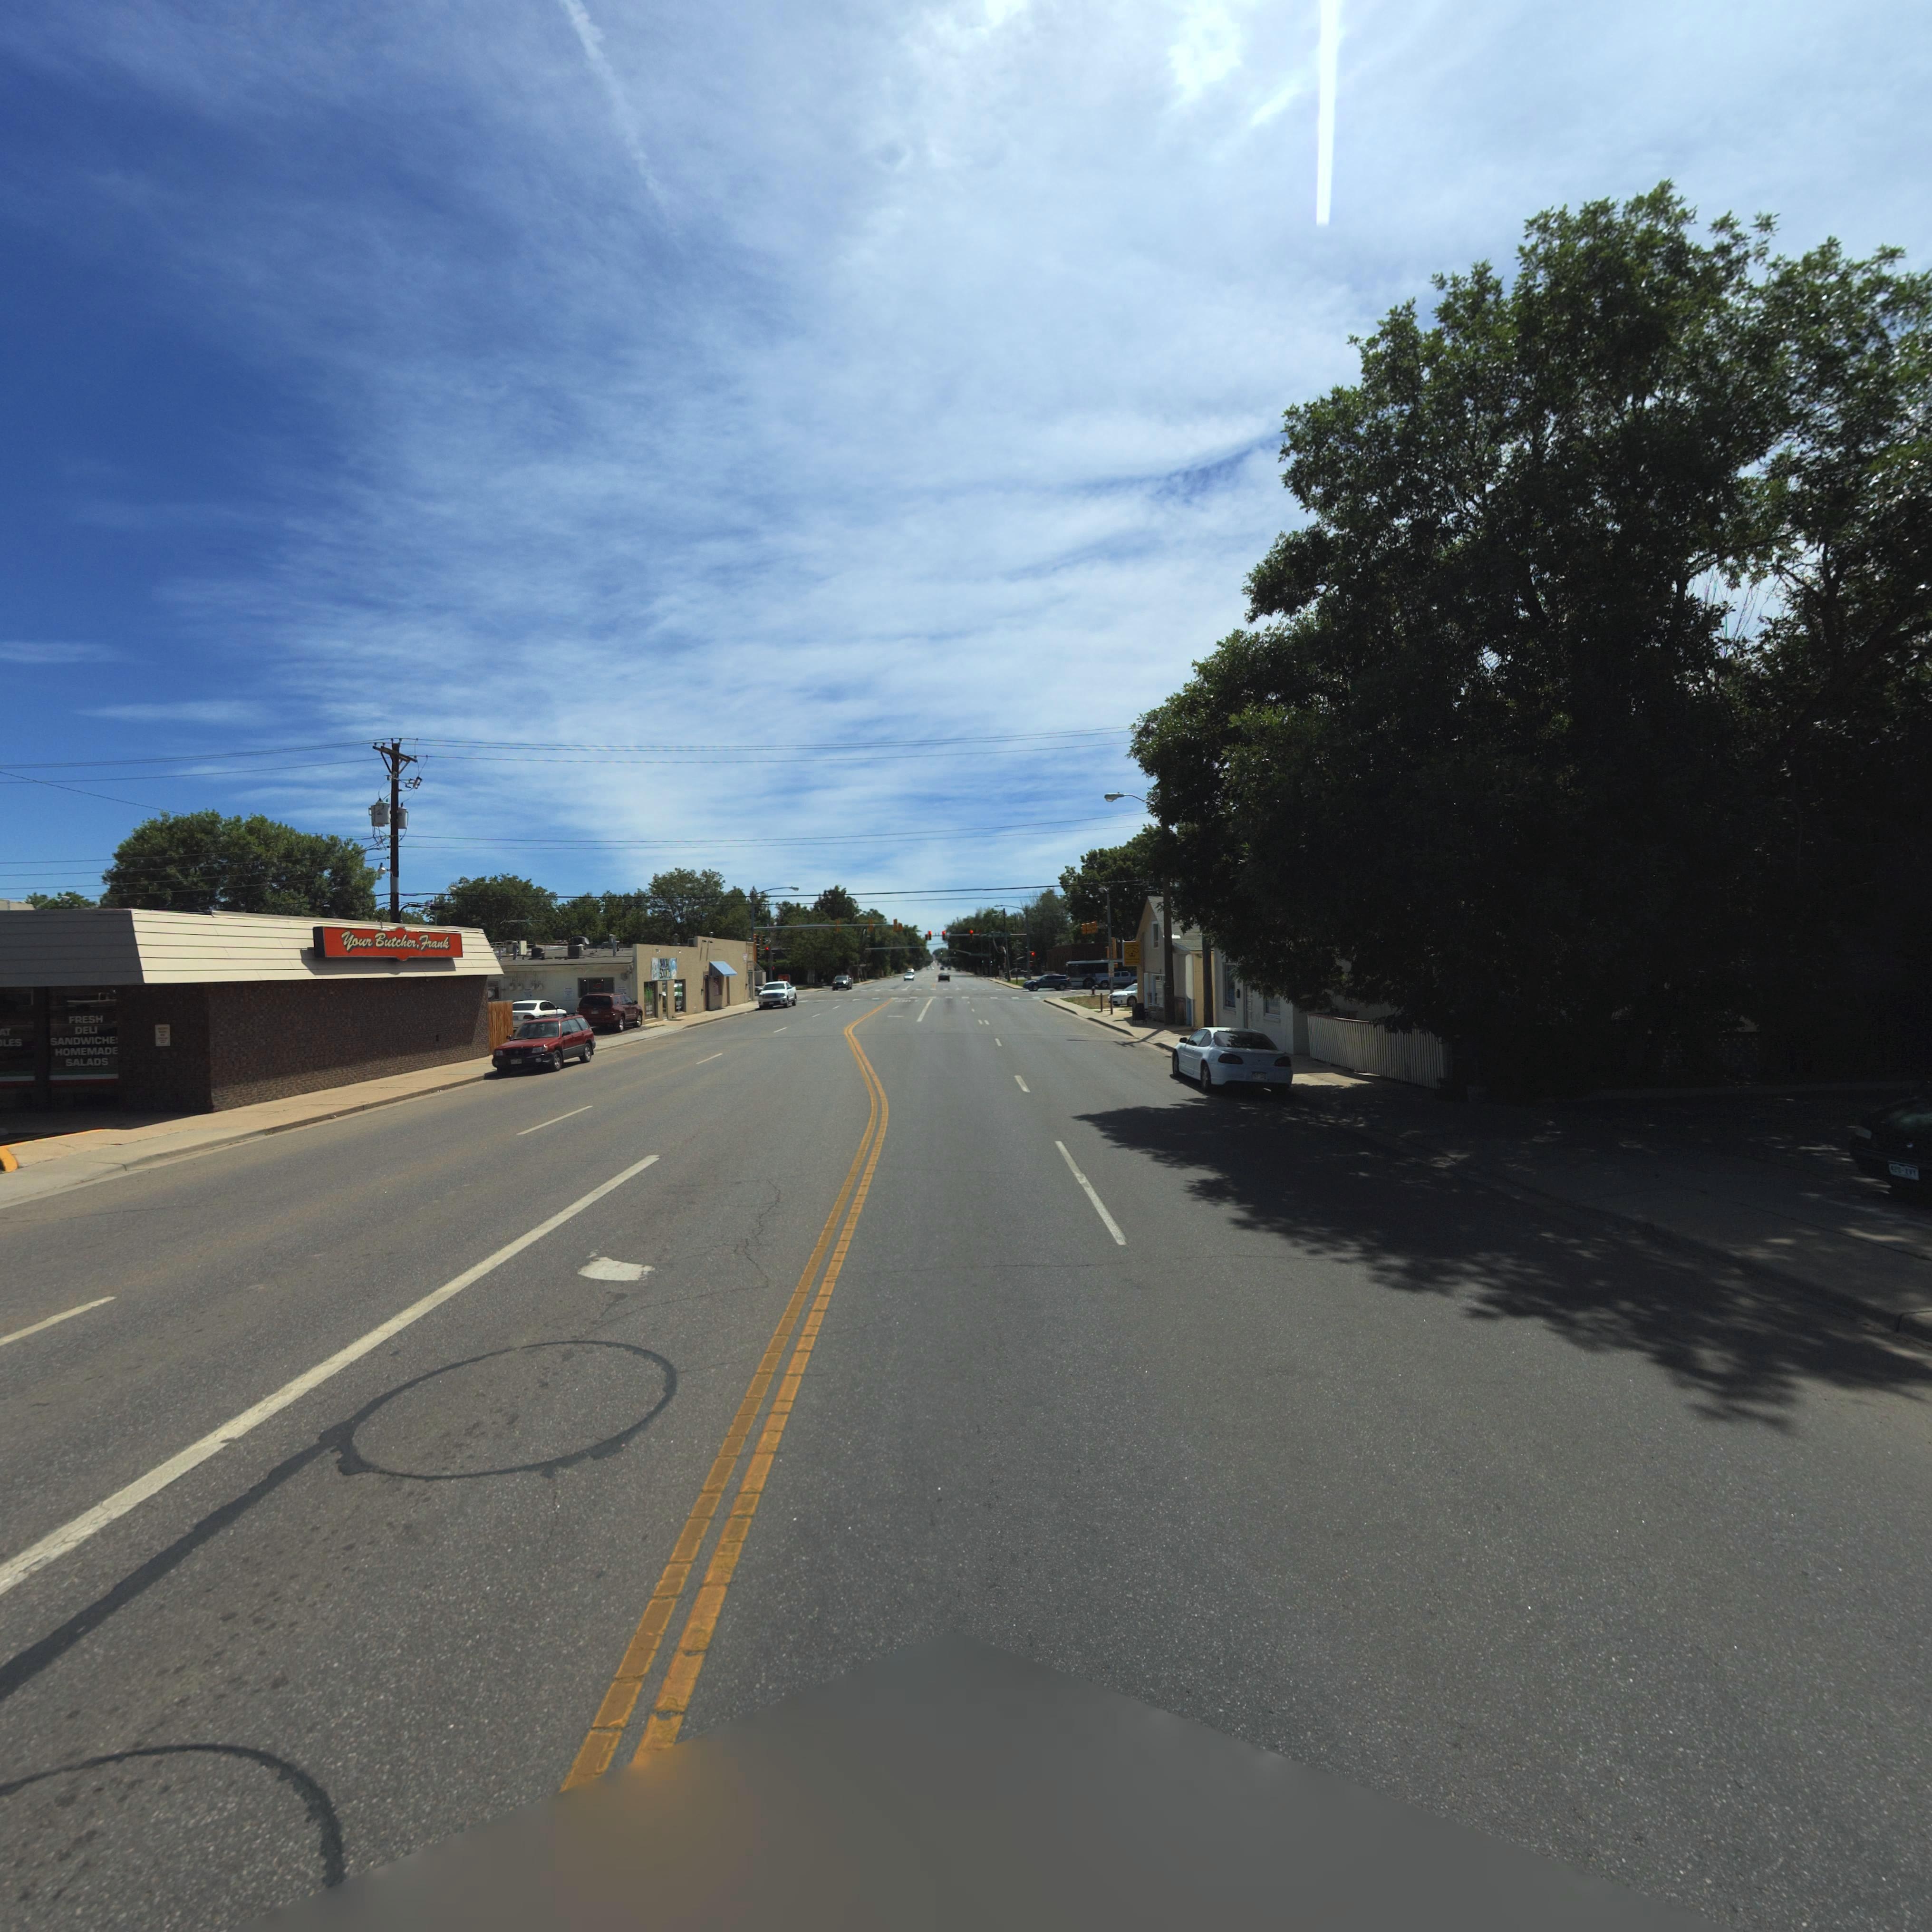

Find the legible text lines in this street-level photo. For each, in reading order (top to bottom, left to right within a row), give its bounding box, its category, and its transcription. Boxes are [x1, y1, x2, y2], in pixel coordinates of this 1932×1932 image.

[341, 930, 450, 952] BusinessName: Your Butcher, Frank